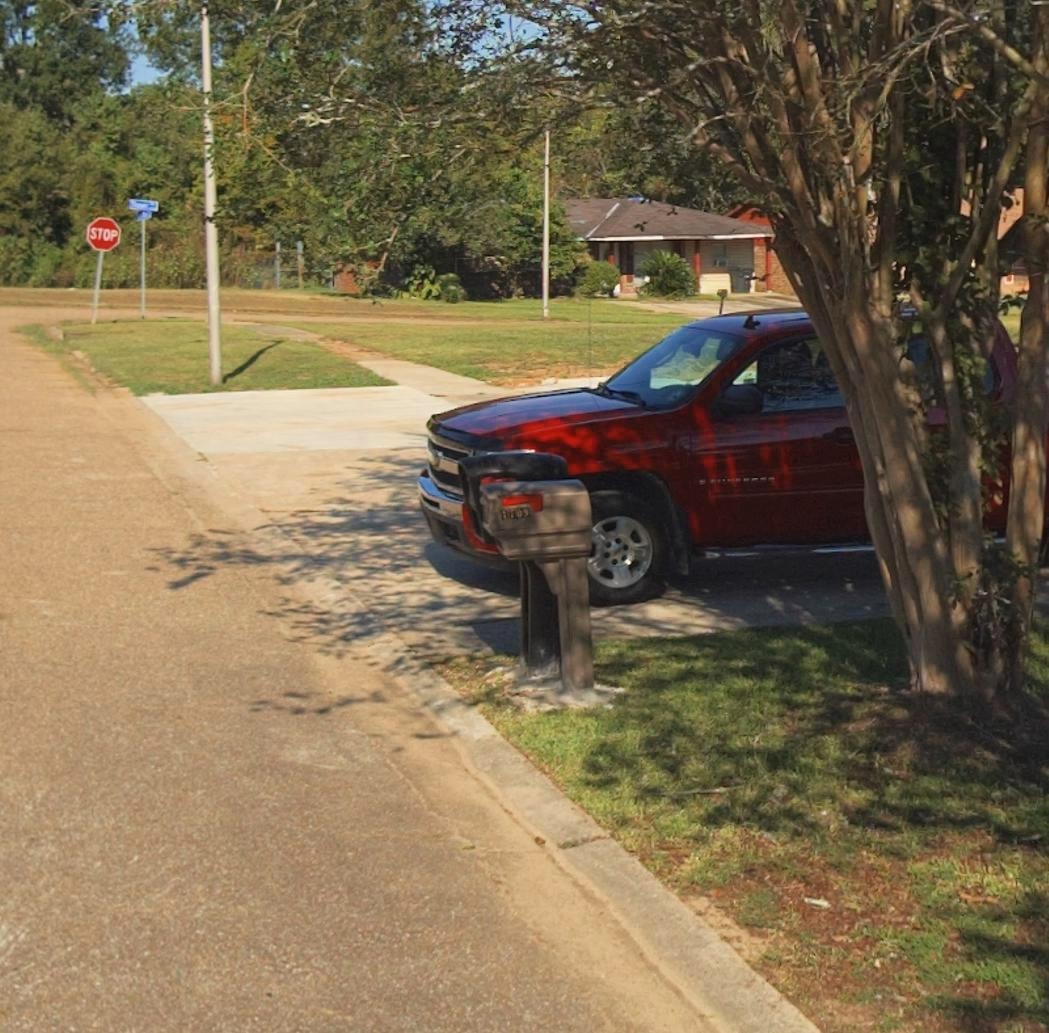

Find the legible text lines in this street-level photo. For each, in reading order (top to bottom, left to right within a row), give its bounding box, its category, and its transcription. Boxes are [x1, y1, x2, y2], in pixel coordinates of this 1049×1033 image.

[89, 226, 119, 242] None: STOP
[709, 476, 777, 484] None: SILVERADO
[501, 507, 531, 521] StreetNumber: 1709